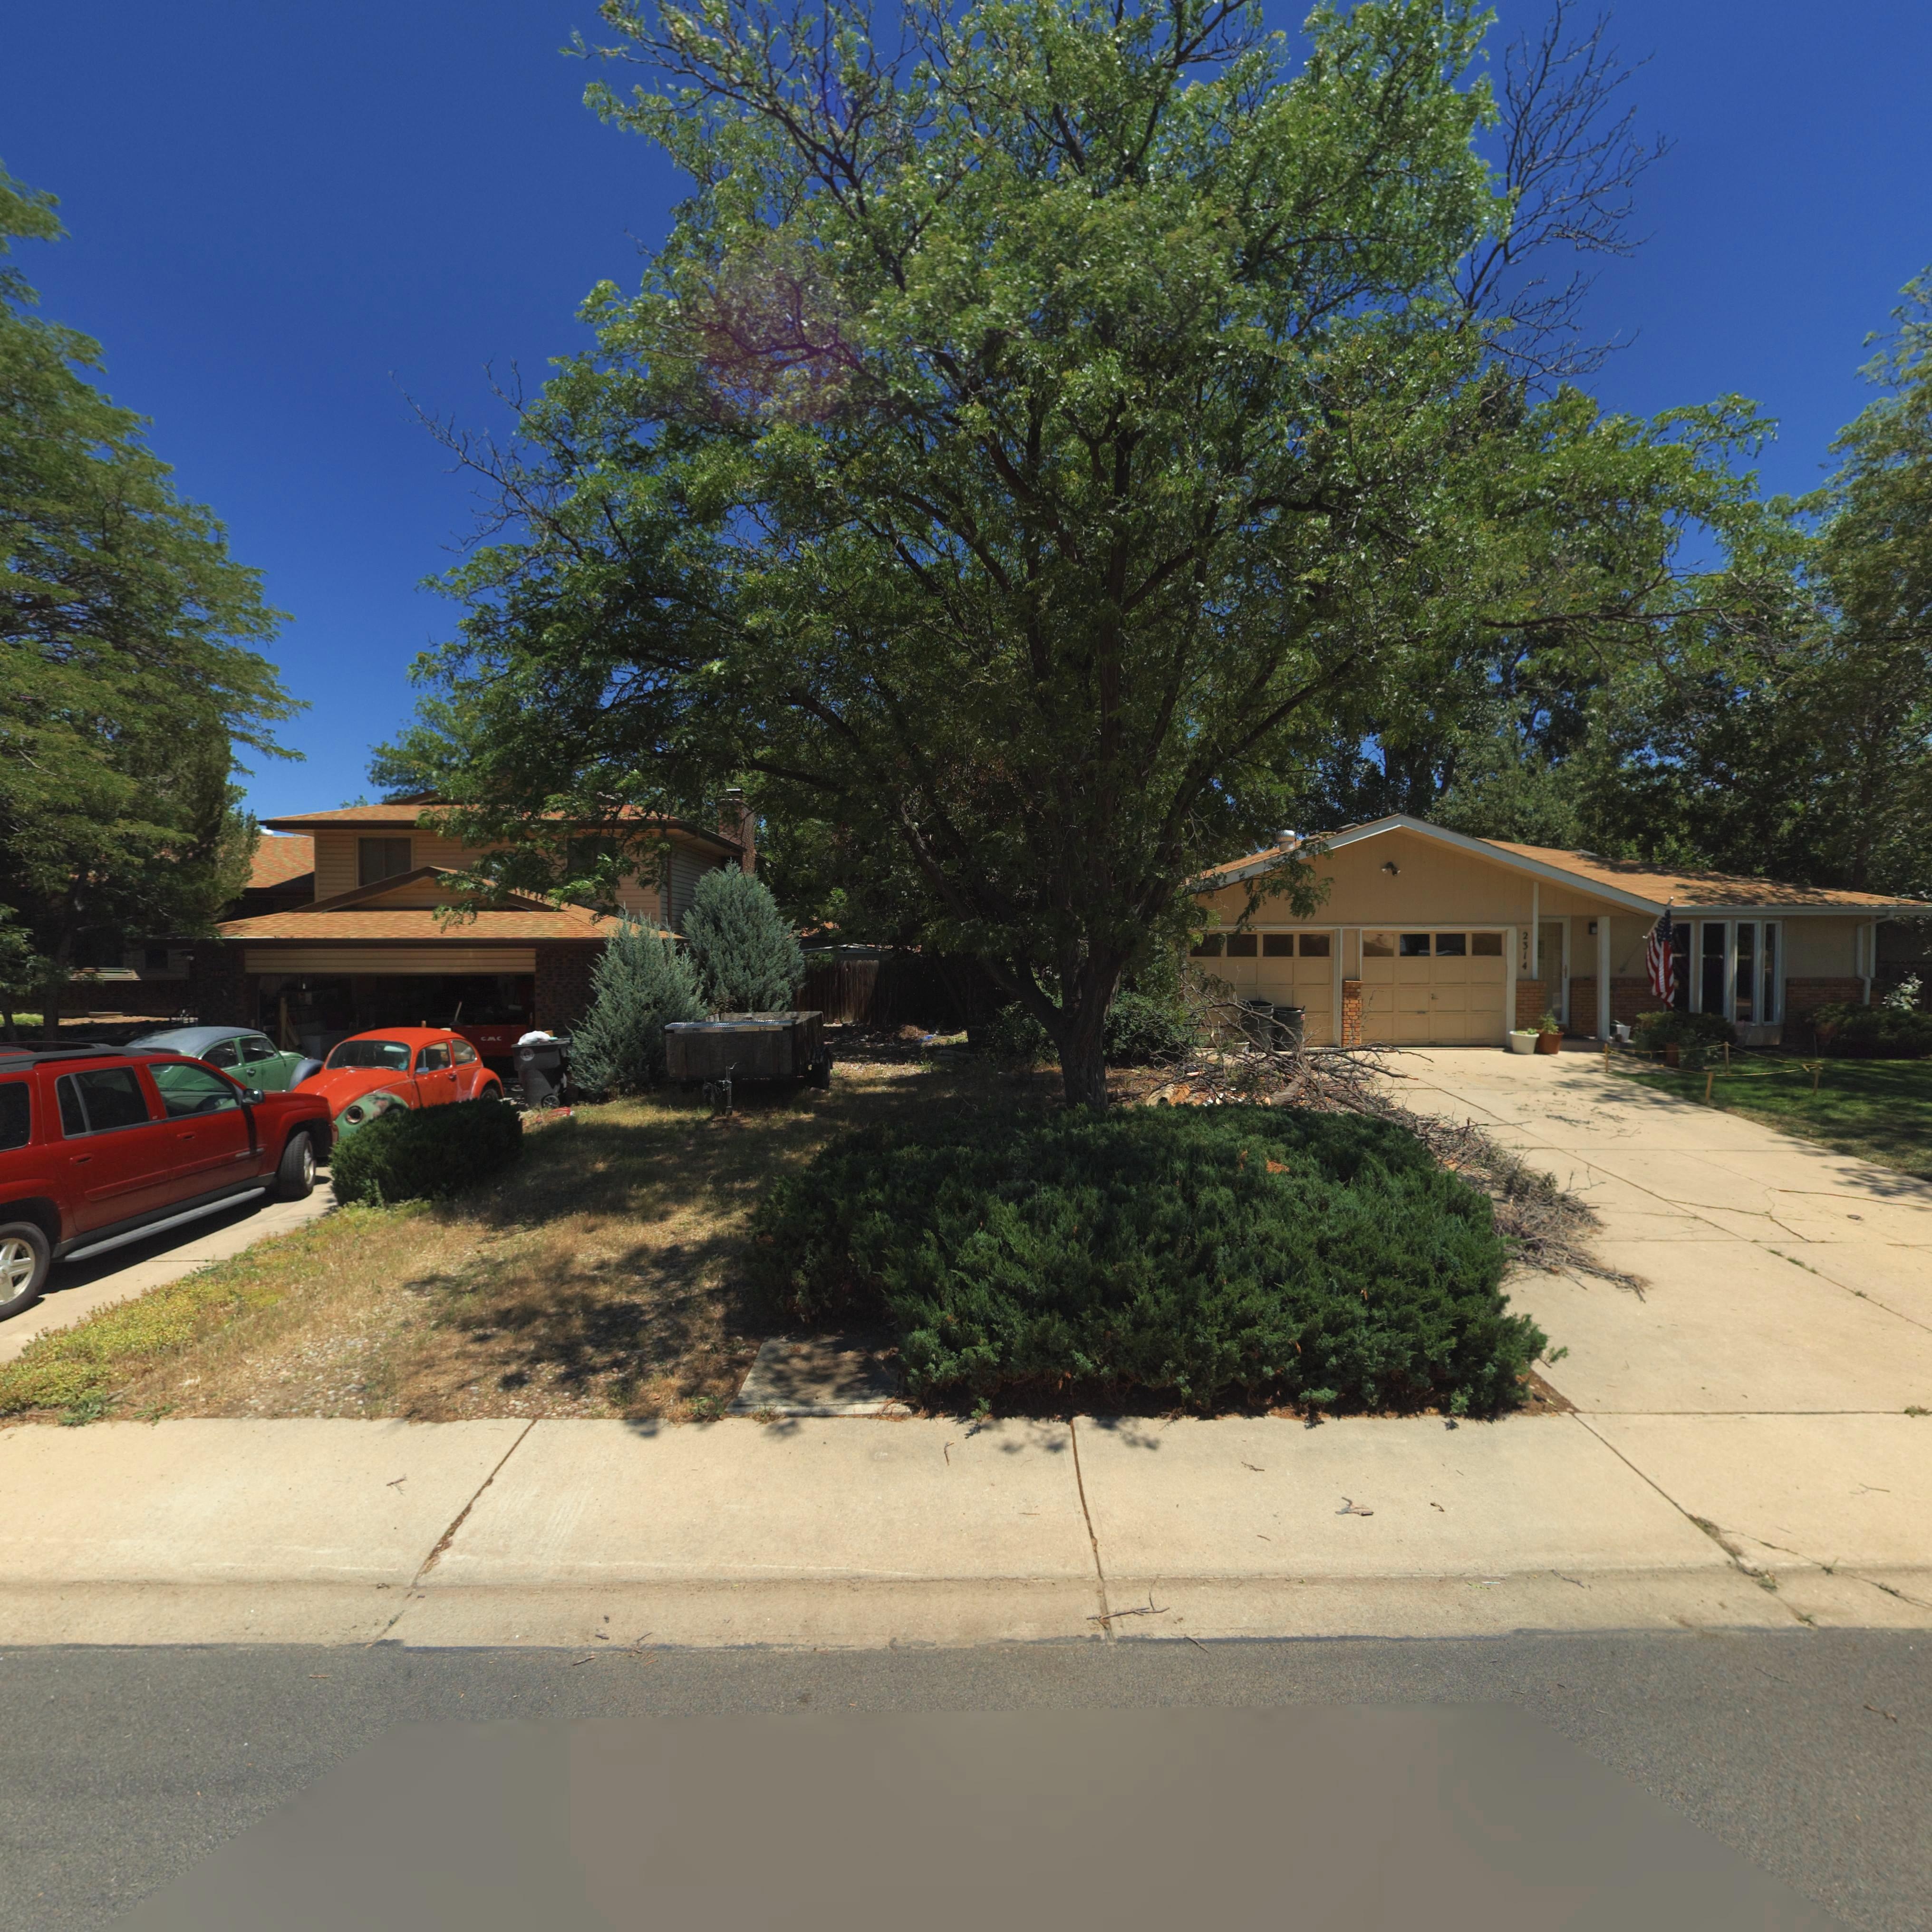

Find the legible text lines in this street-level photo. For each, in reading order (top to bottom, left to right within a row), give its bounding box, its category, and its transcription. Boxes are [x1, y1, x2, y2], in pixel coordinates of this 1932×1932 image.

[1522, 931, 1528, 970] StreetNumber: 2314